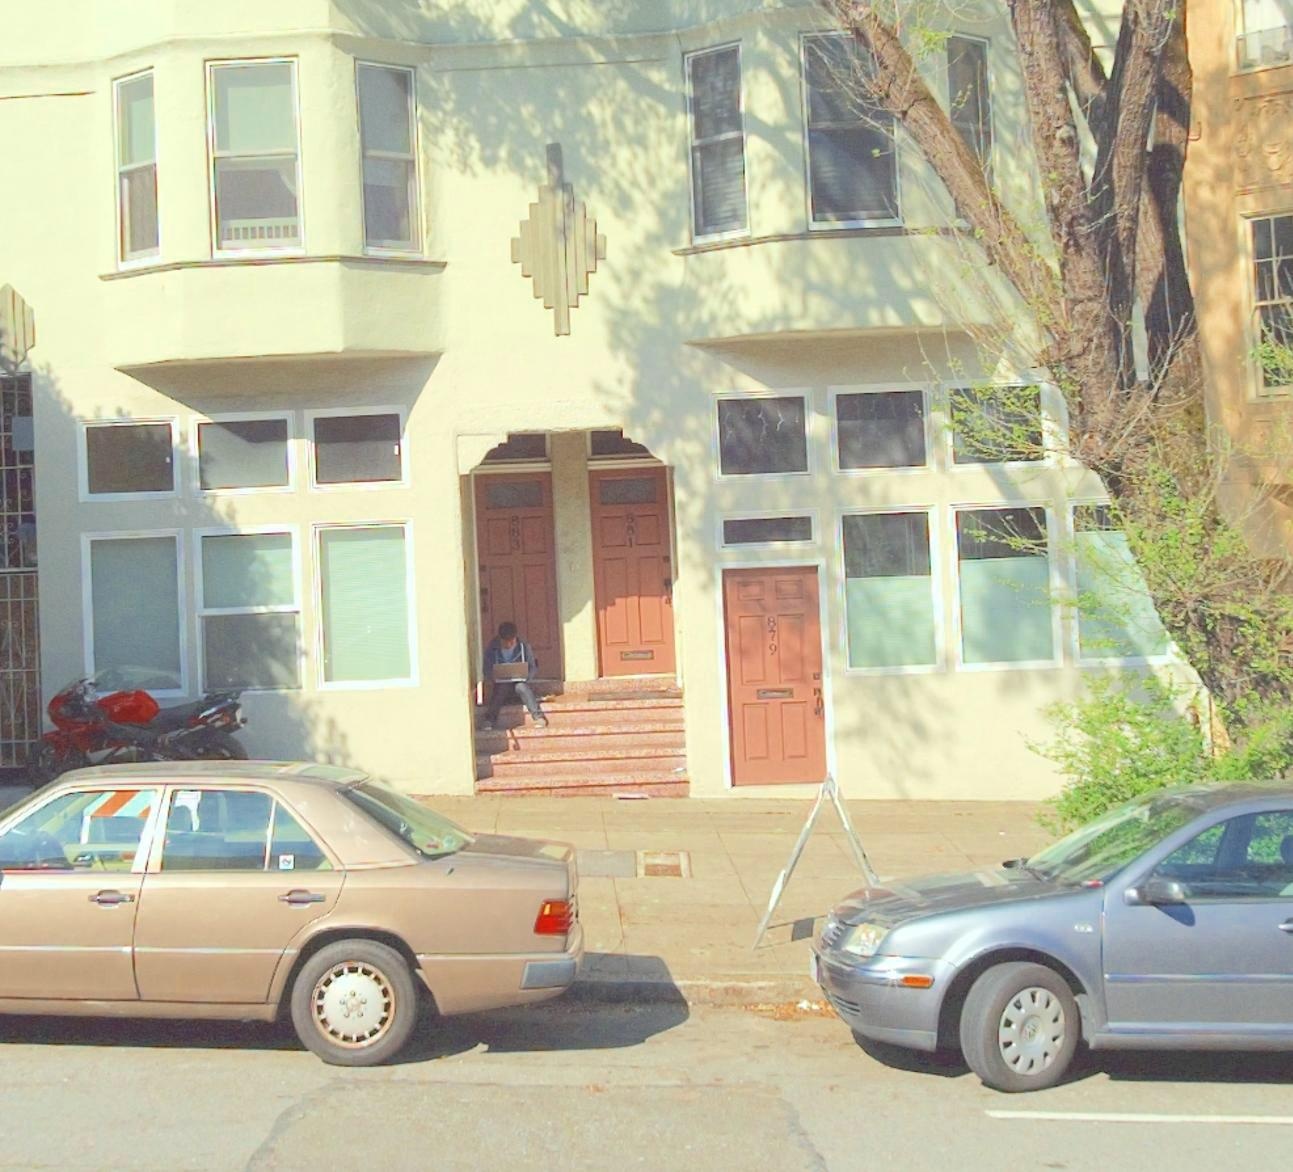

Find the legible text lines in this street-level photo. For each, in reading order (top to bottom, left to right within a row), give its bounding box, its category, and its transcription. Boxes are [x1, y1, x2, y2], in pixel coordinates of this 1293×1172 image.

[509, 512, 521, 554] StreetNumber: 883
[626, 510, 636, 549] StreetNumber: 881
[766, 613, 779, 657] StreetNumber: 879